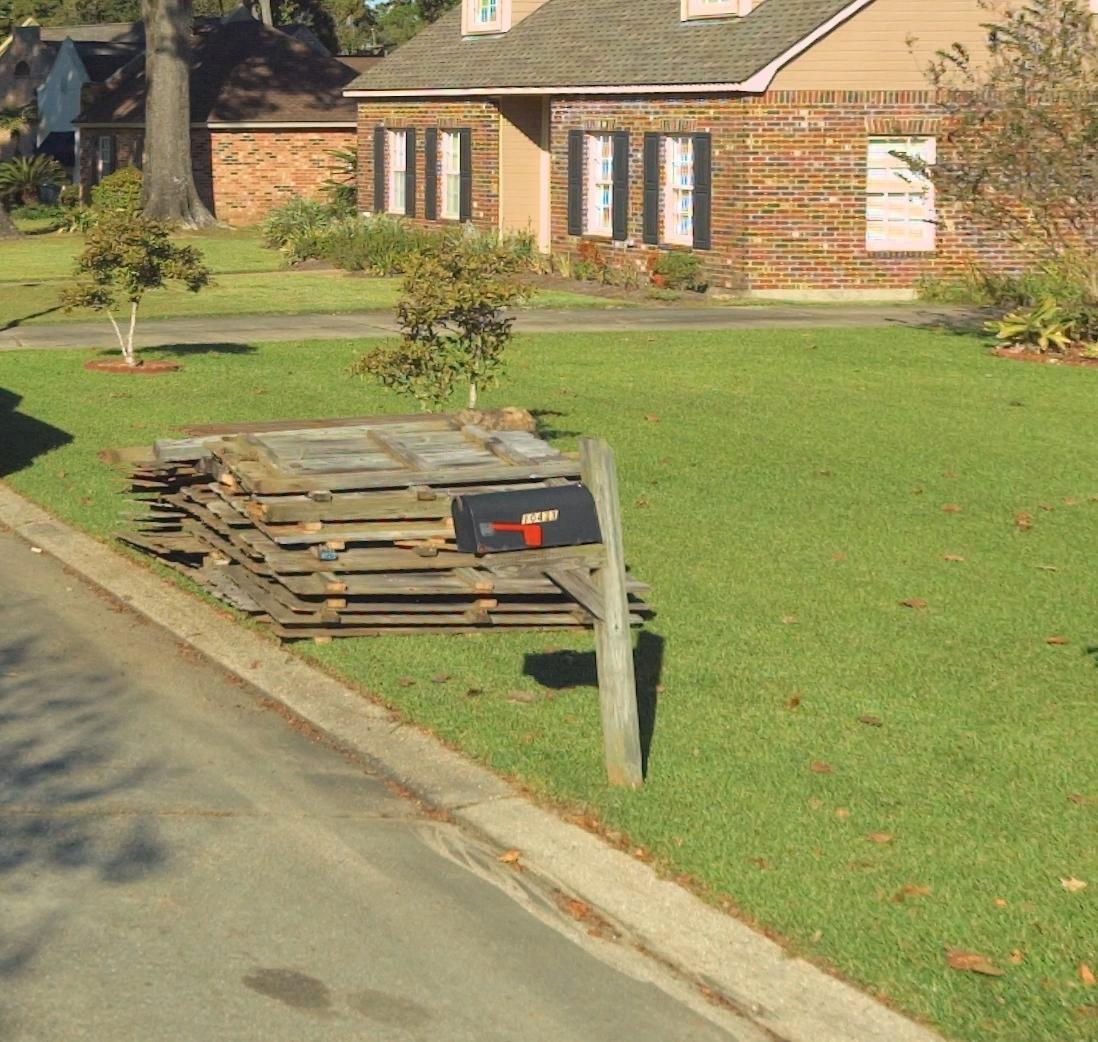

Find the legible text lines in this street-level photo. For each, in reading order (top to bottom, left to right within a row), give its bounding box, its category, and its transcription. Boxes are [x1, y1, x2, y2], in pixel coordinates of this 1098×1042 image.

[519, 505, 561, 528] StreetNumber: 1043*